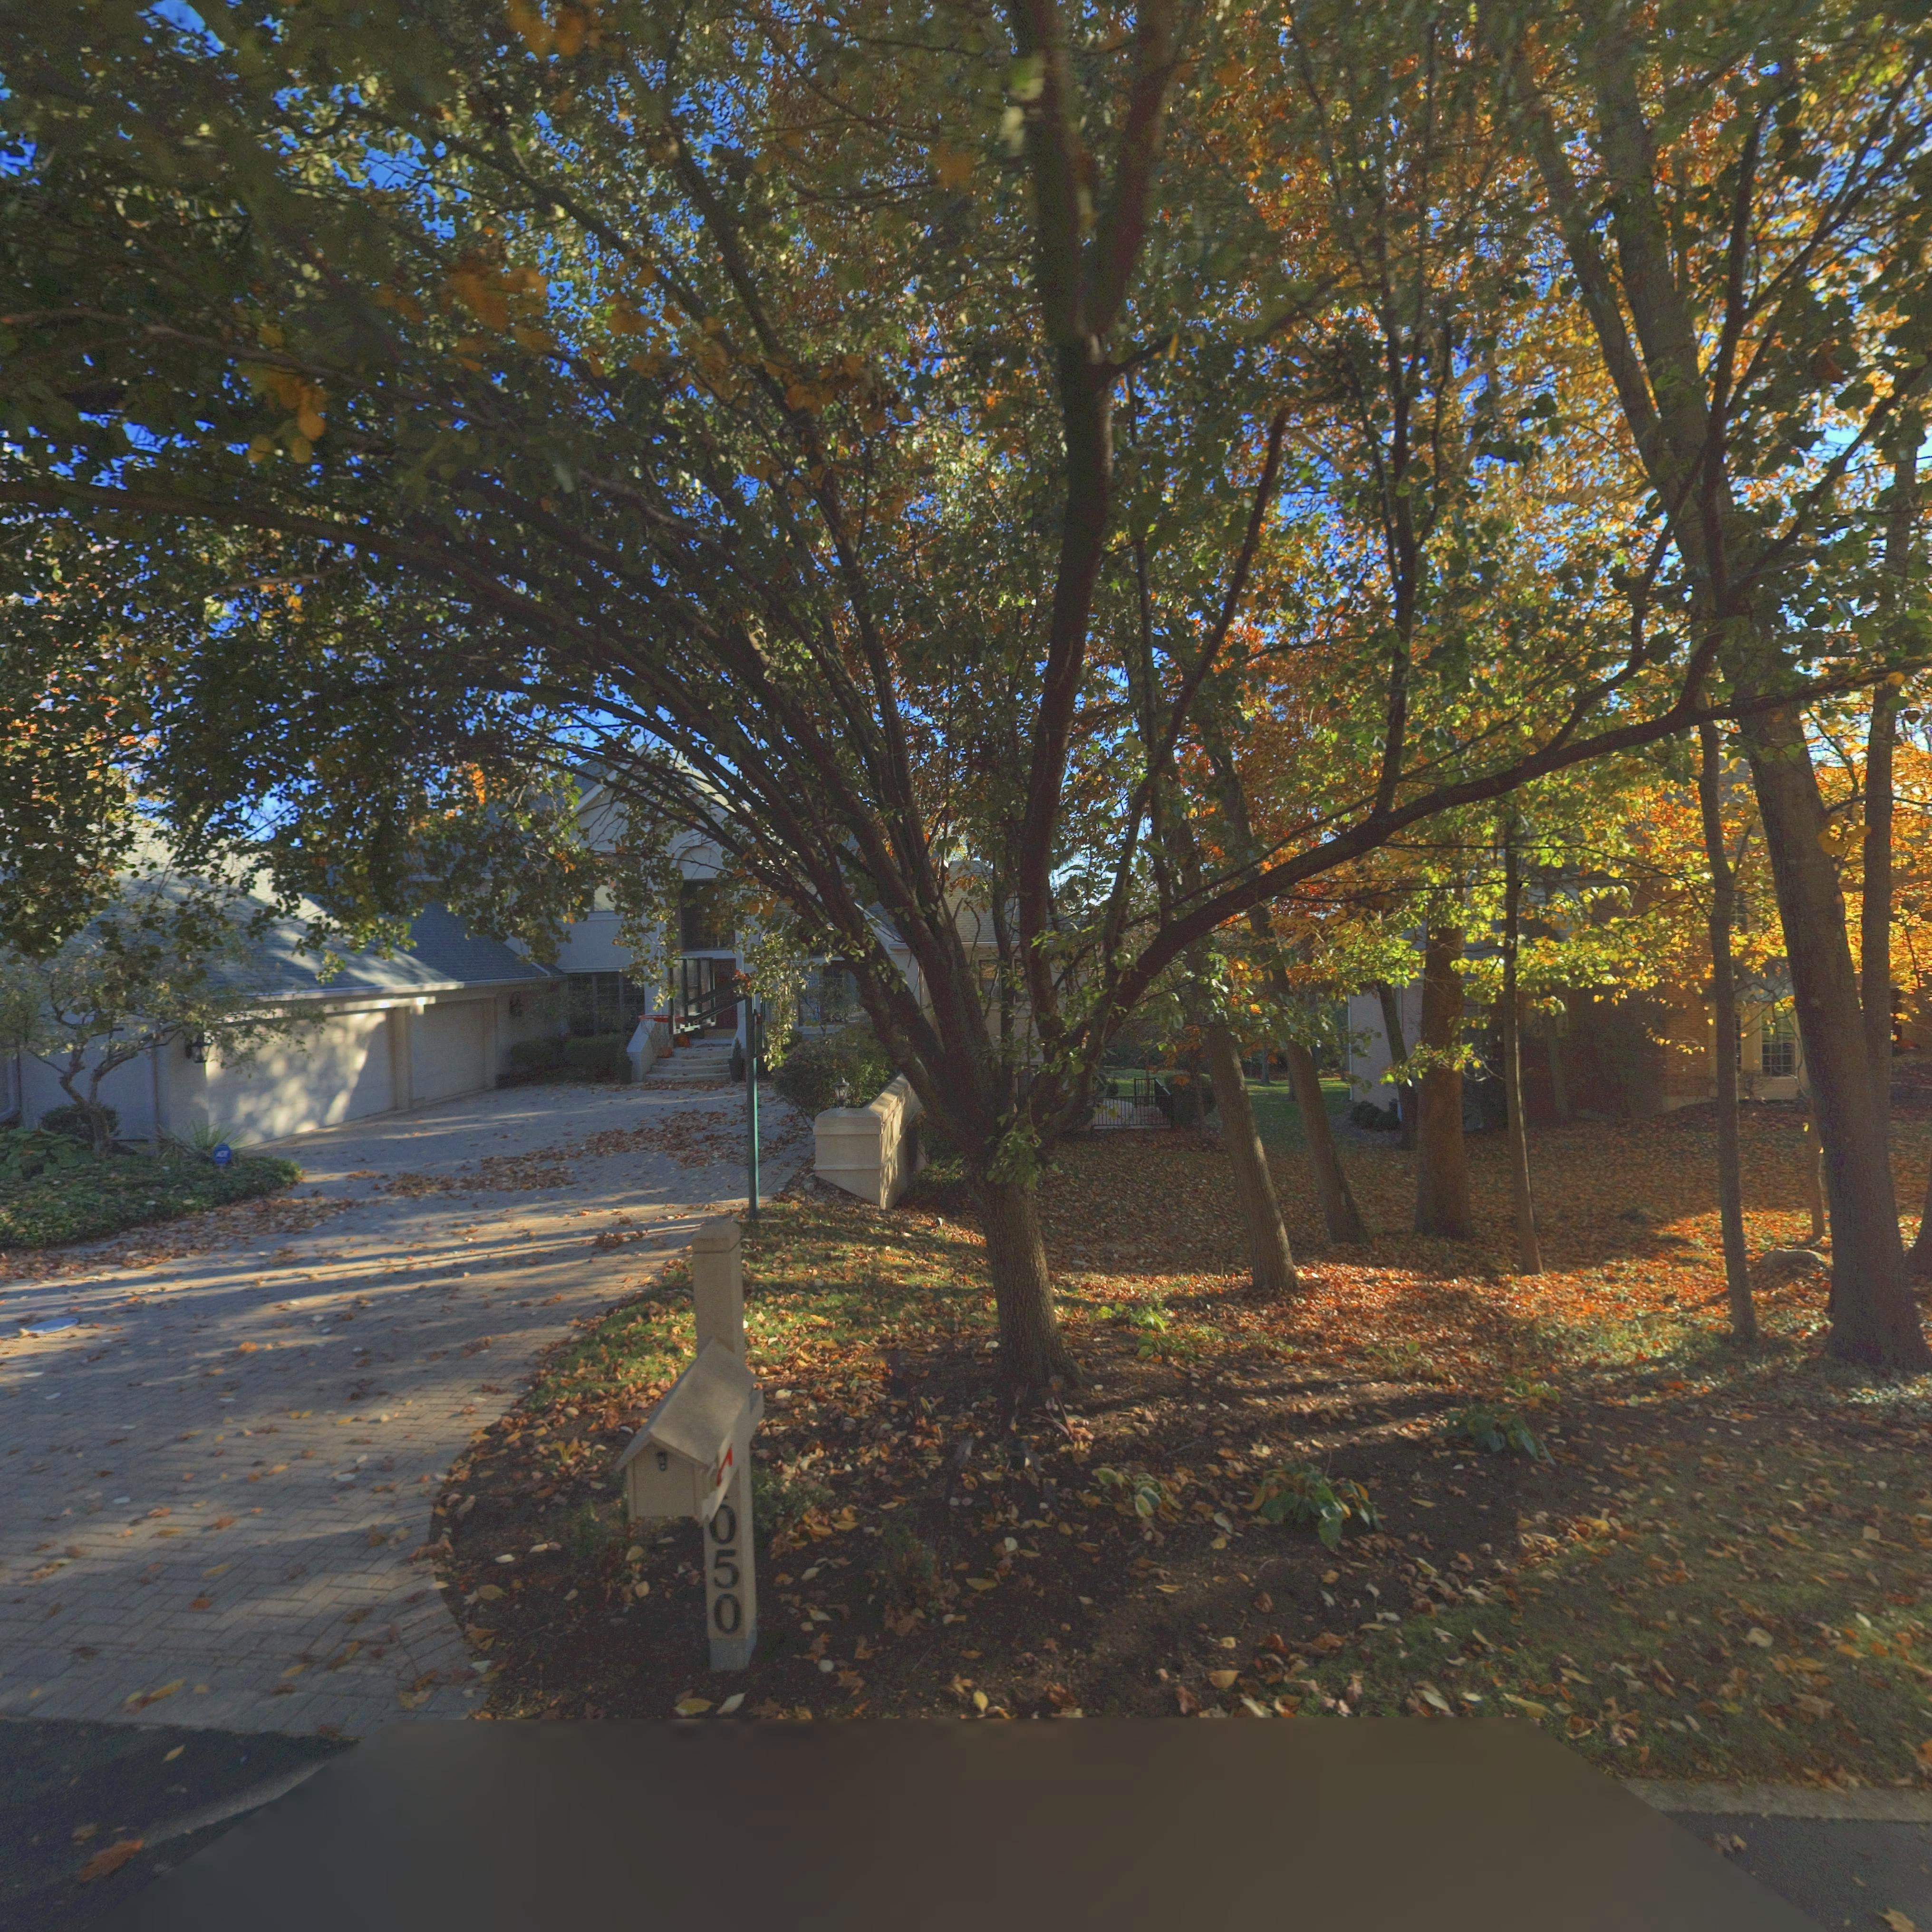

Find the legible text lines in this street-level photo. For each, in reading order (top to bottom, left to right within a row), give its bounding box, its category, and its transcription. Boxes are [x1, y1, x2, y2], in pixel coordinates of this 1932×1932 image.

[710, 1547, 743, 1635] StreetNumber: 50